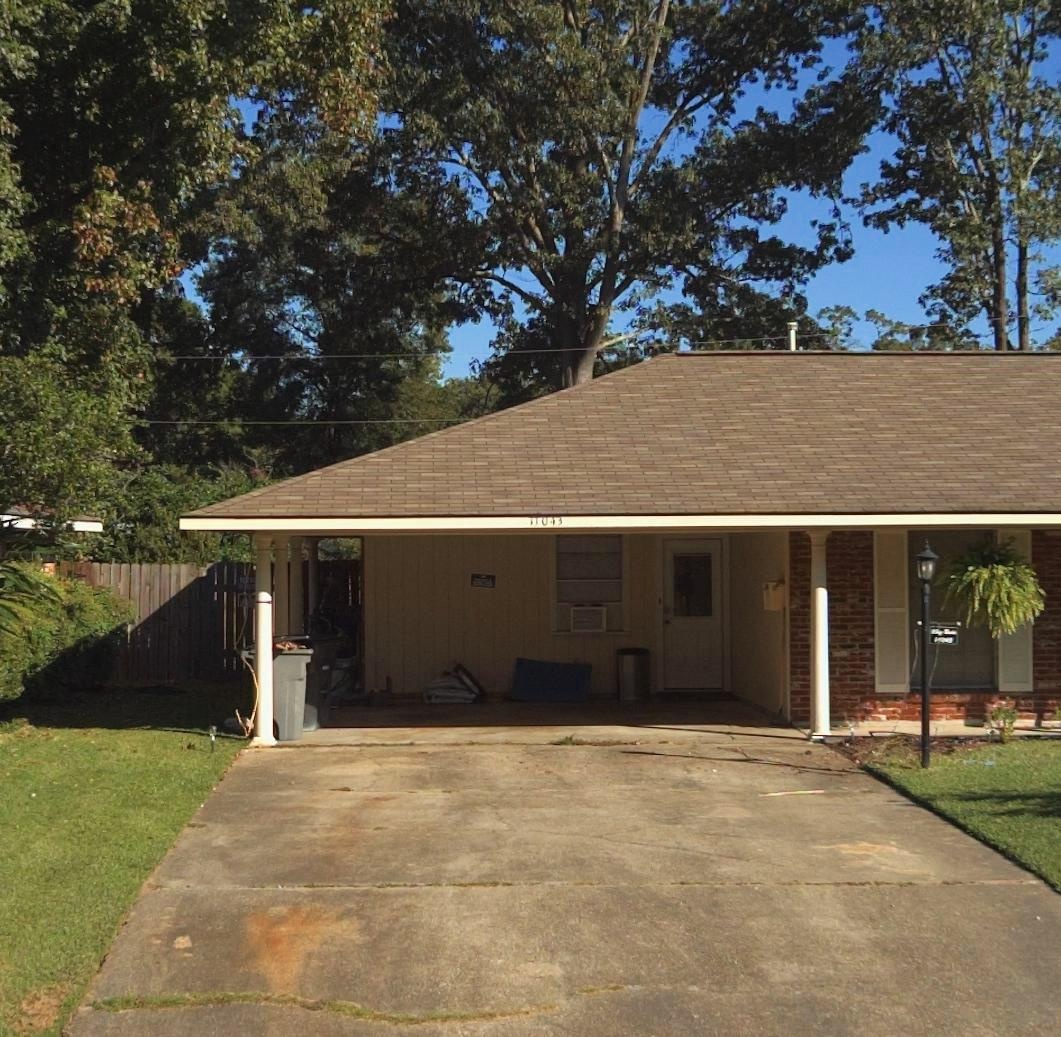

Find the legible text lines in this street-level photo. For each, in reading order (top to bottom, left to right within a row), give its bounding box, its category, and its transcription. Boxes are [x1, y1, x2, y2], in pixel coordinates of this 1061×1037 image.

[527, 515, 565, 528] StreetNumber: 11043